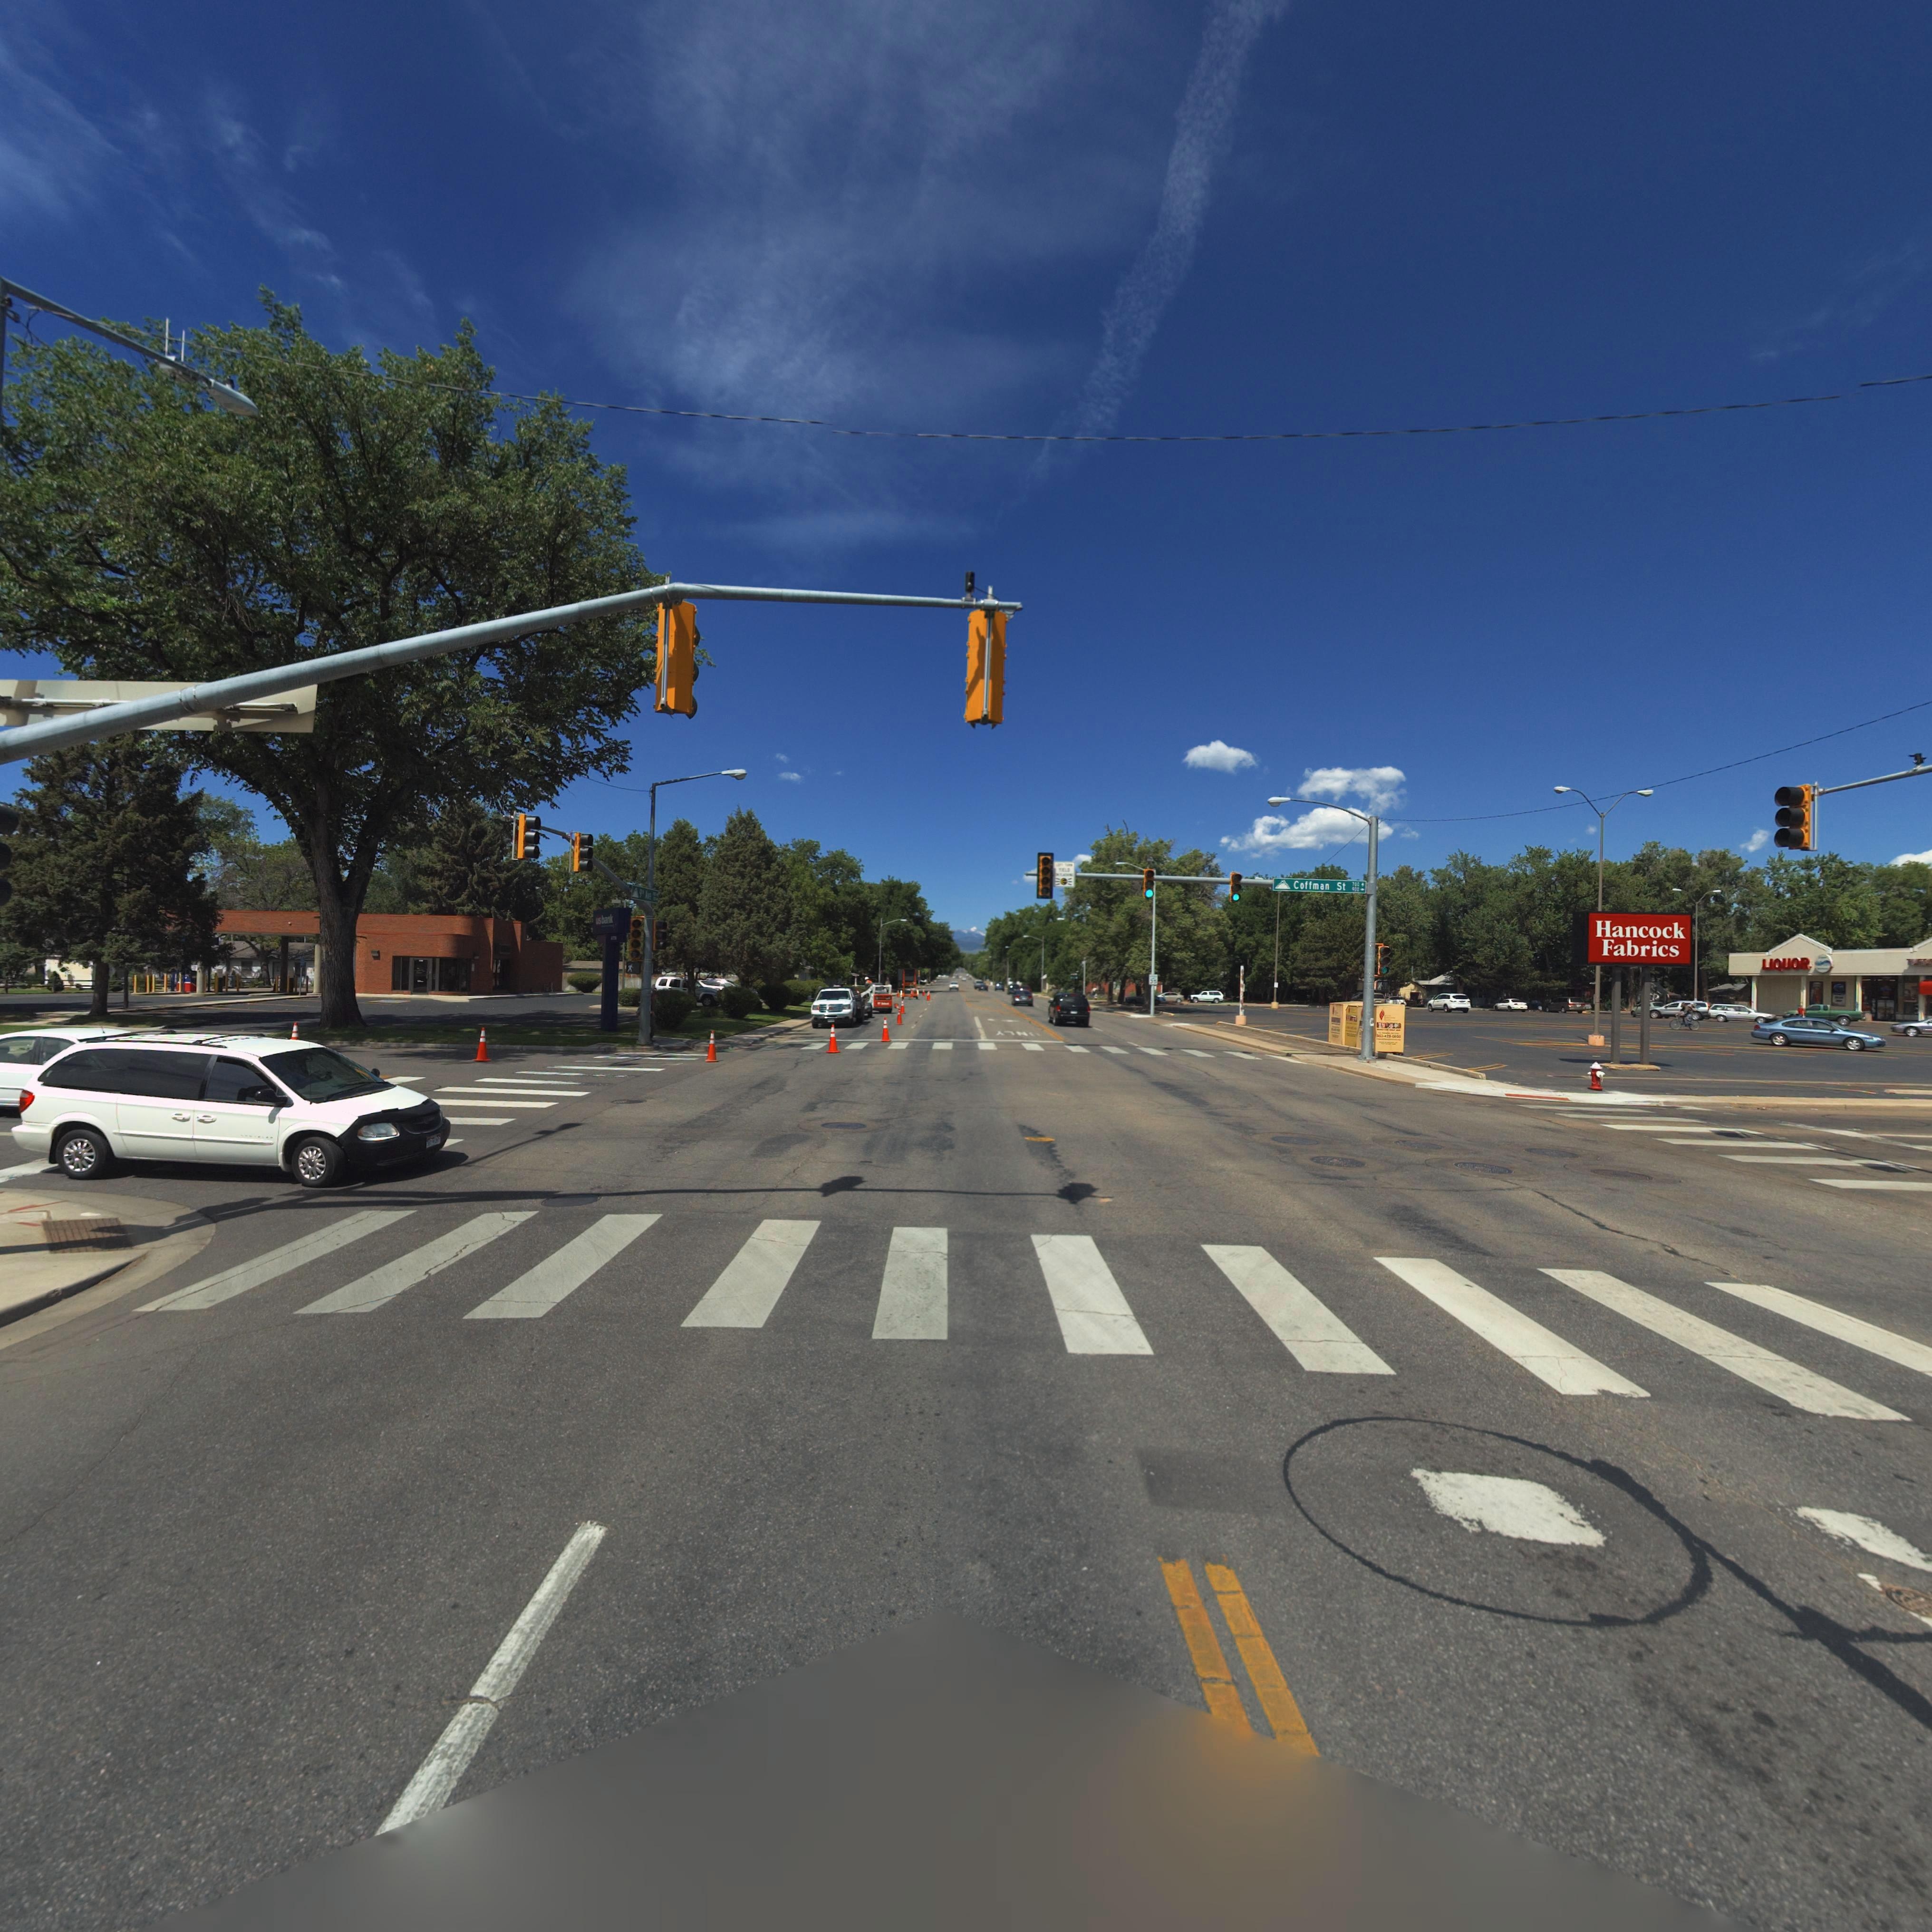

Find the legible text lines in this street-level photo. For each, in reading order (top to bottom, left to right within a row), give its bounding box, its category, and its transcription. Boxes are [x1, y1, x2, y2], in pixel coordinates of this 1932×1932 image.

[638, 888, 652, 900] StreetName: 9** ***
[1293, 880, 1346, 890] StreetName: Coffman St
[1351, 886, 1360, 892] StreetNumberRange: 9**
[1352, 881, 1360, 887] StreetNumberRange: 70*
[595, 913, 613, 925] BusinessName: us ba**
[1594, 919, 1686, 939] BusinessName: Hancock
[1601, 938, 1680, 957] BusinessName: Fabrics